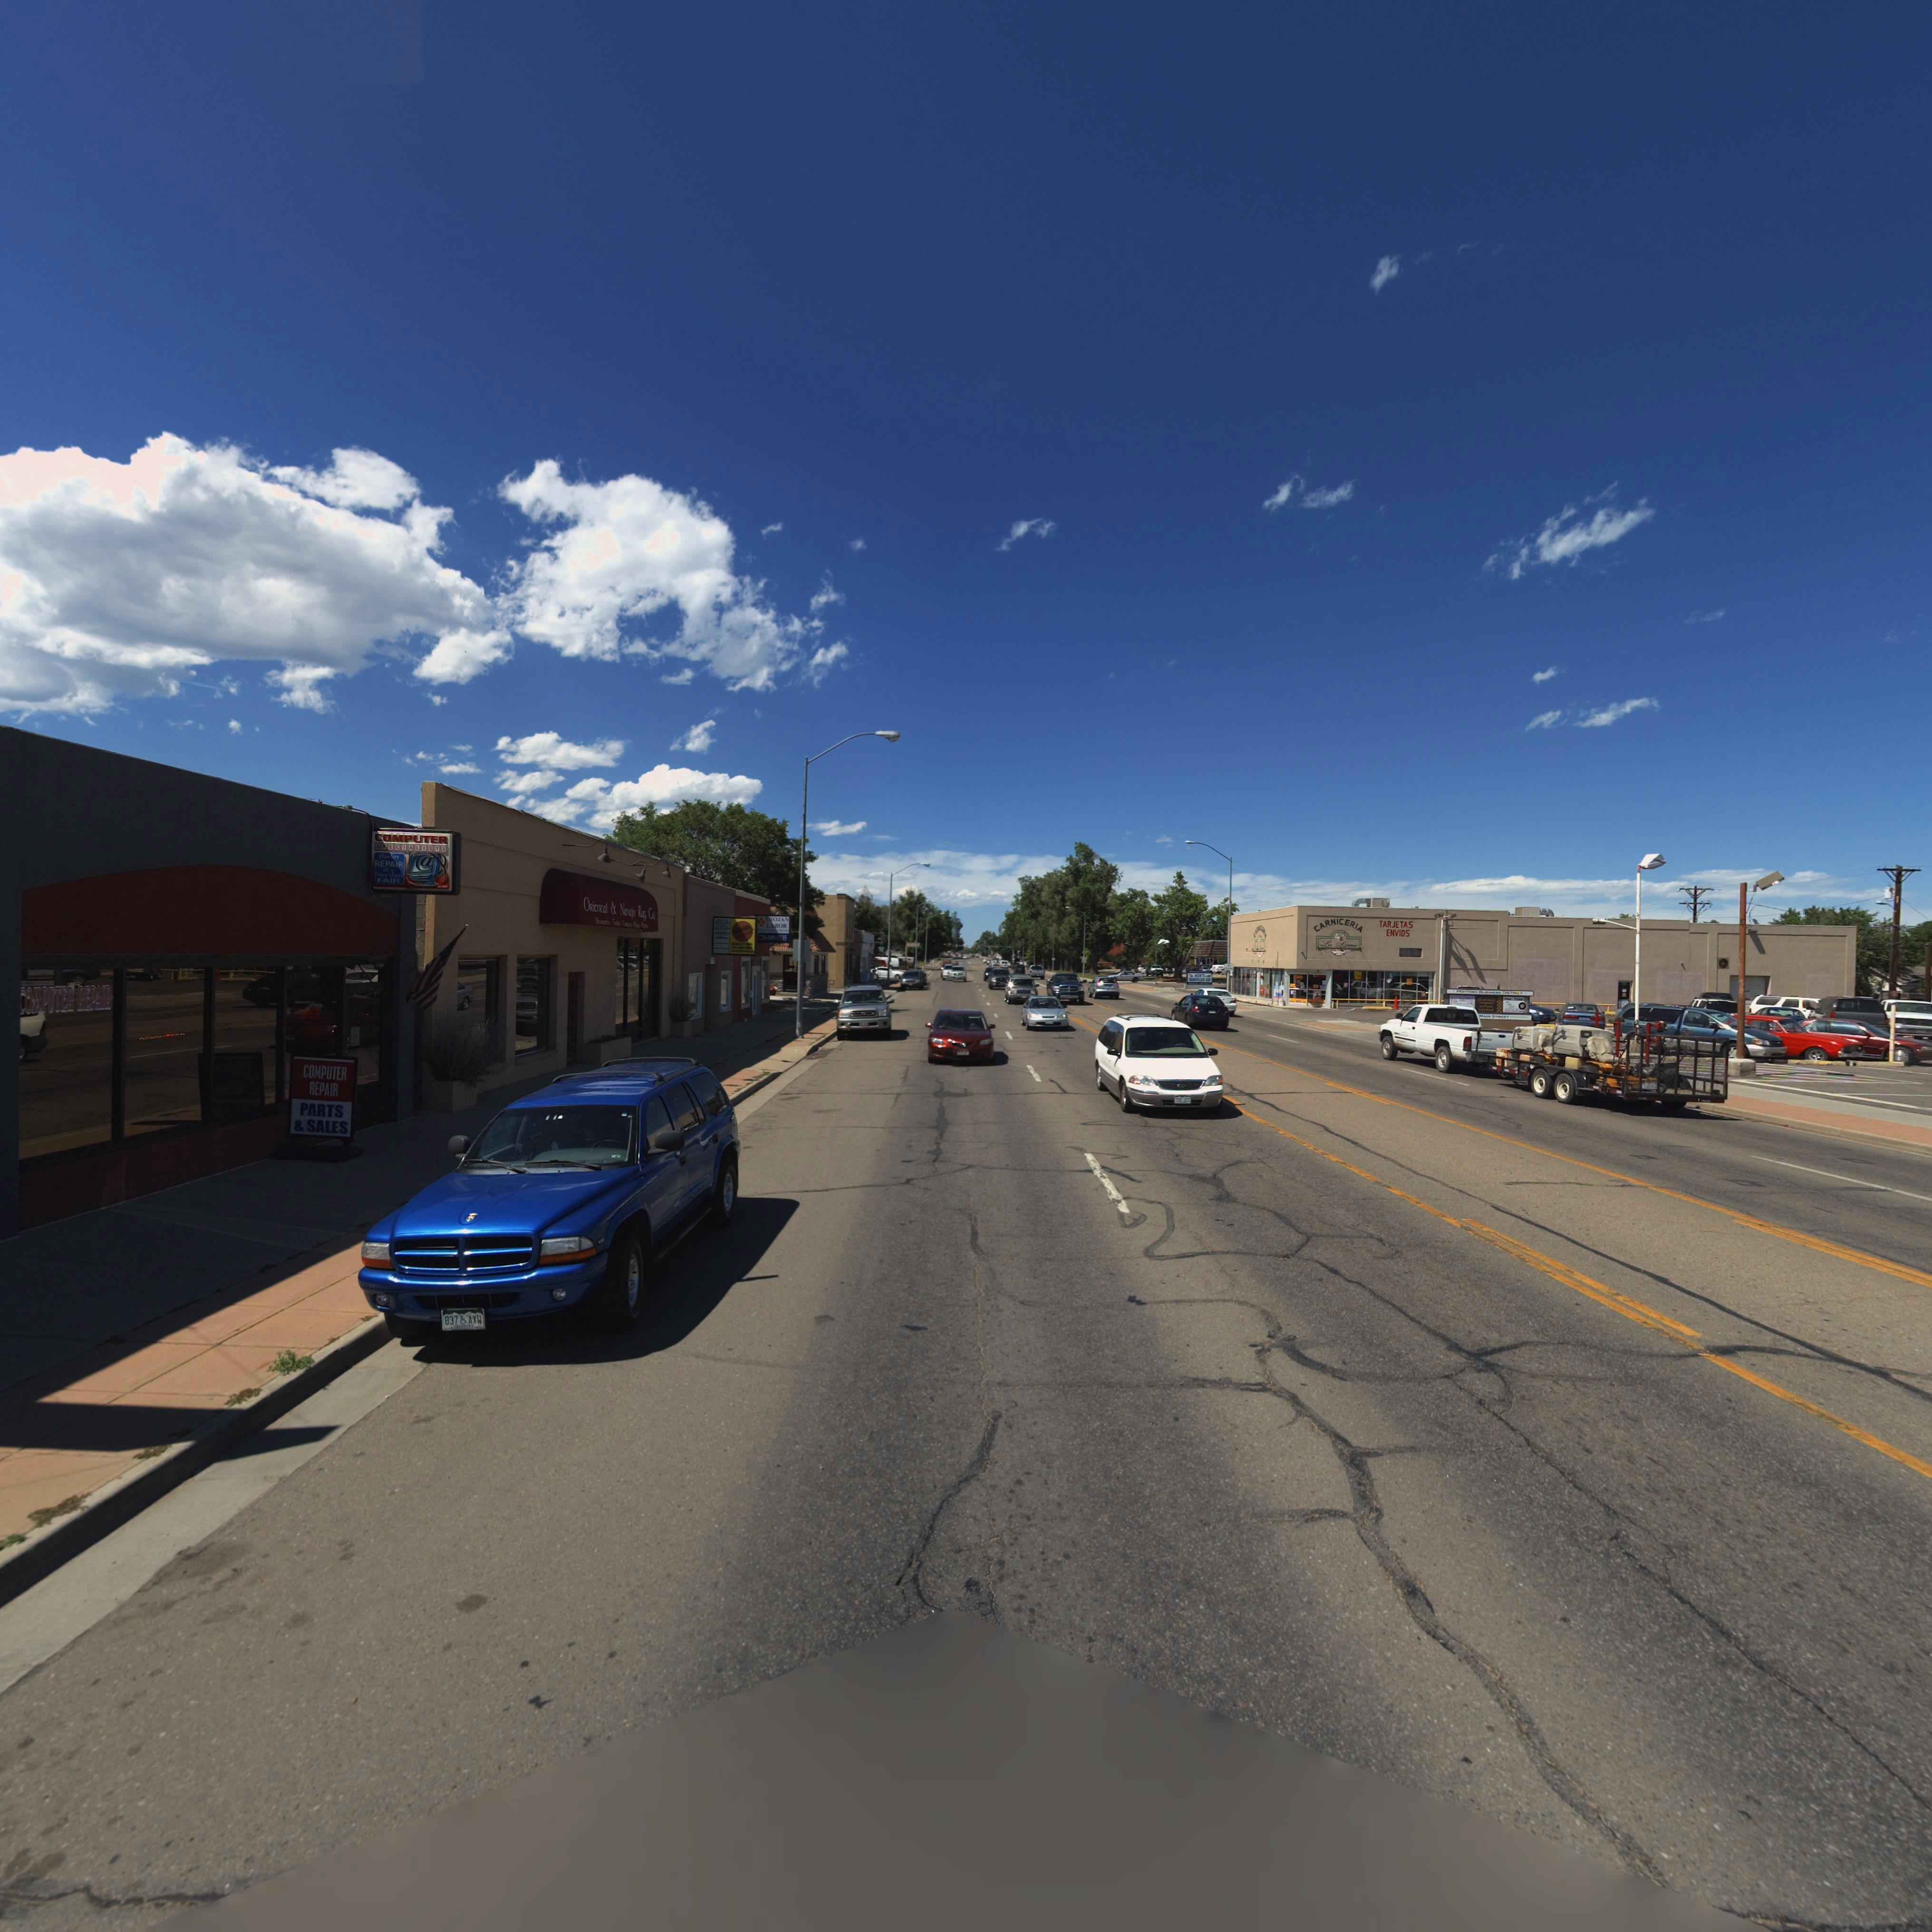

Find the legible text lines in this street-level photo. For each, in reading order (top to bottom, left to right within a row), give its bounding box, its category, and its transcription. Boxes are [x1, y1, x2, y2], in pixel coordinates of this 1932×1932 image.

[375, 833, 447, 844] BusinessName: COMPUTER
[376, 844, 445, 851] BusinessName: SPECIALISTS
[583, 897, 656, 921] BusinessName: ORienTal & Navajo Rug Co.
[765, 917, 789, 922] BusinessName: TROJAN
[733, 924, 750, 935] BusinessName: ***IUS
[766, 923, 787, 928] BusinessName: LABOR
[1254, 925, 1266, 937] BusinessName: C********A
[1314, 918, 1363, 933] BusinessName: CARNICERIA
[731, 942, 752, 946] BusinessName: *******T **AL
[1318, 939, 1358, 948] BusinessName: La Si***a
[560, 968, 566, 978] StreetNumber: *2*
[1188, 977, 1210, 981] BusinessName: ****L** CO
[1195, 974, 1205, 977] BusinessName: ***S
[1450, 996, 1474, 1006] BusinessName: F*** *******E
[1504, 997, 1524, 1001] BusinessName: M* T***
[1479, 1014, 1509, 1018] StreetName: **** ST****T